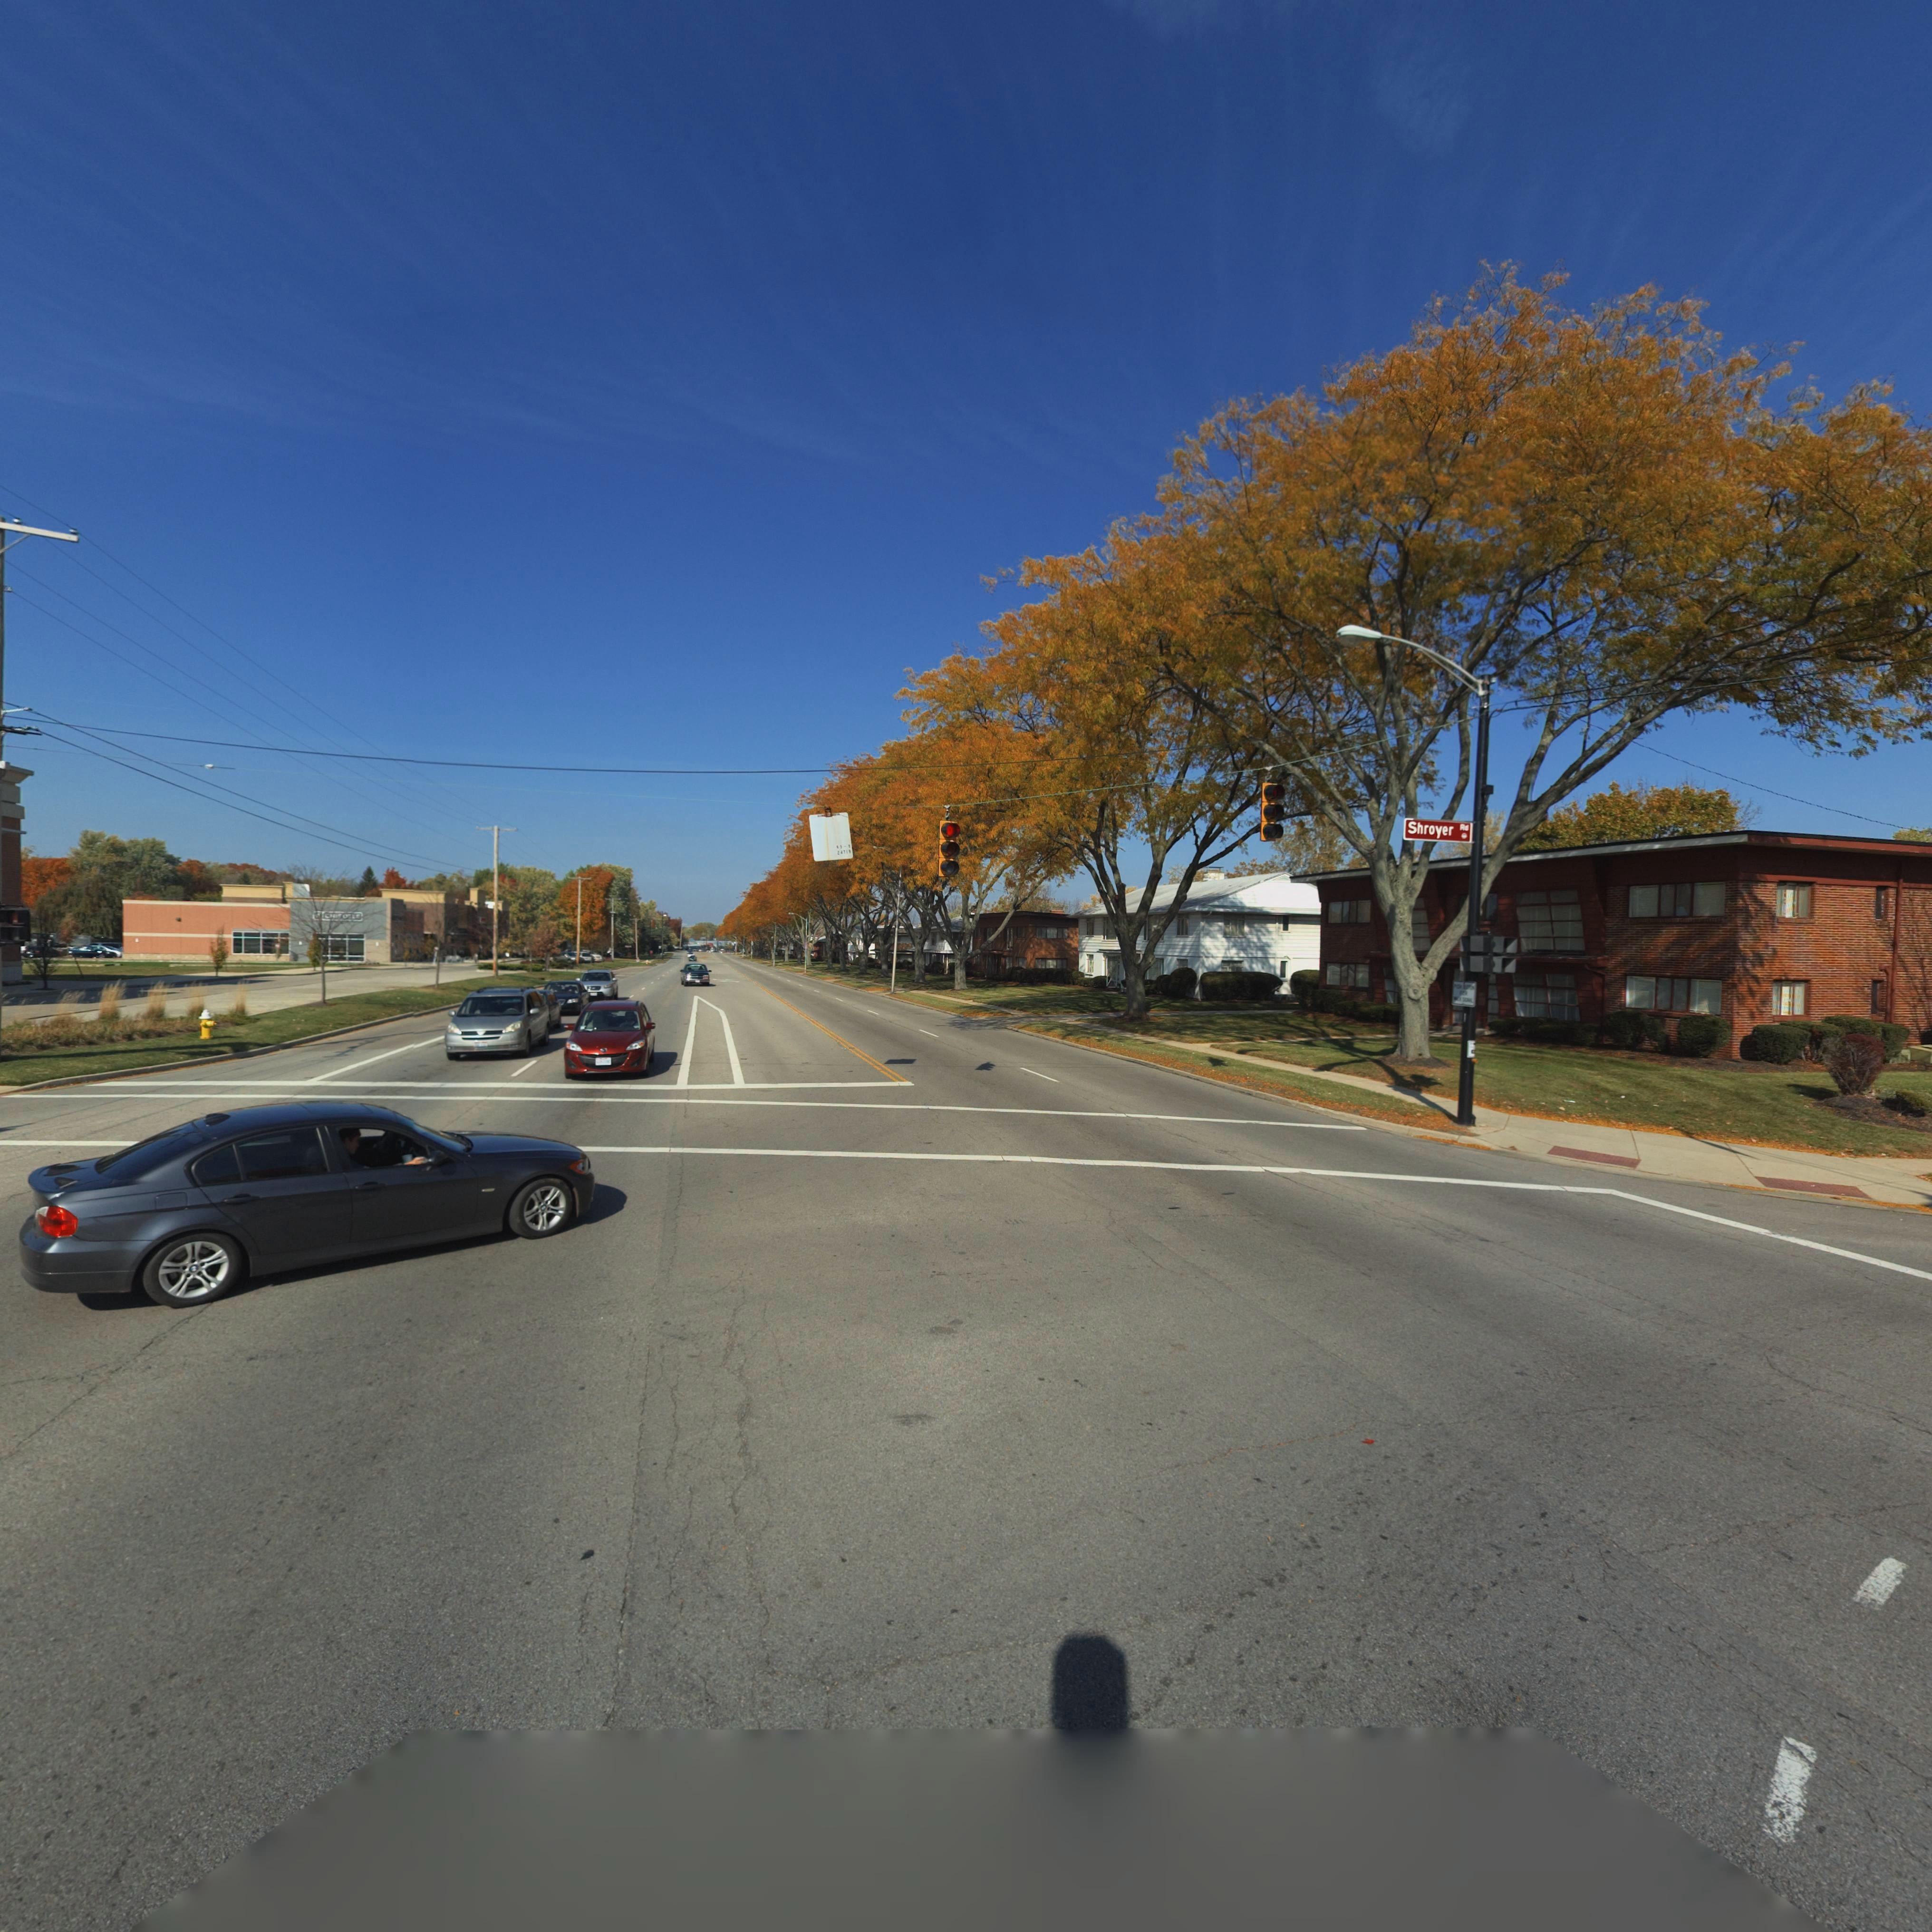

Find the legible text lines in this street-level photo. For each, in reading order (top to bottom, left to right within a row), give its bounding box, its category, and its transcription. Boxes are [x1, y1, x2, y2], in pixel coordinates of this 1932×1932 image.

[1406, 820, 1470, 840] StreetName: Shroyer Rd